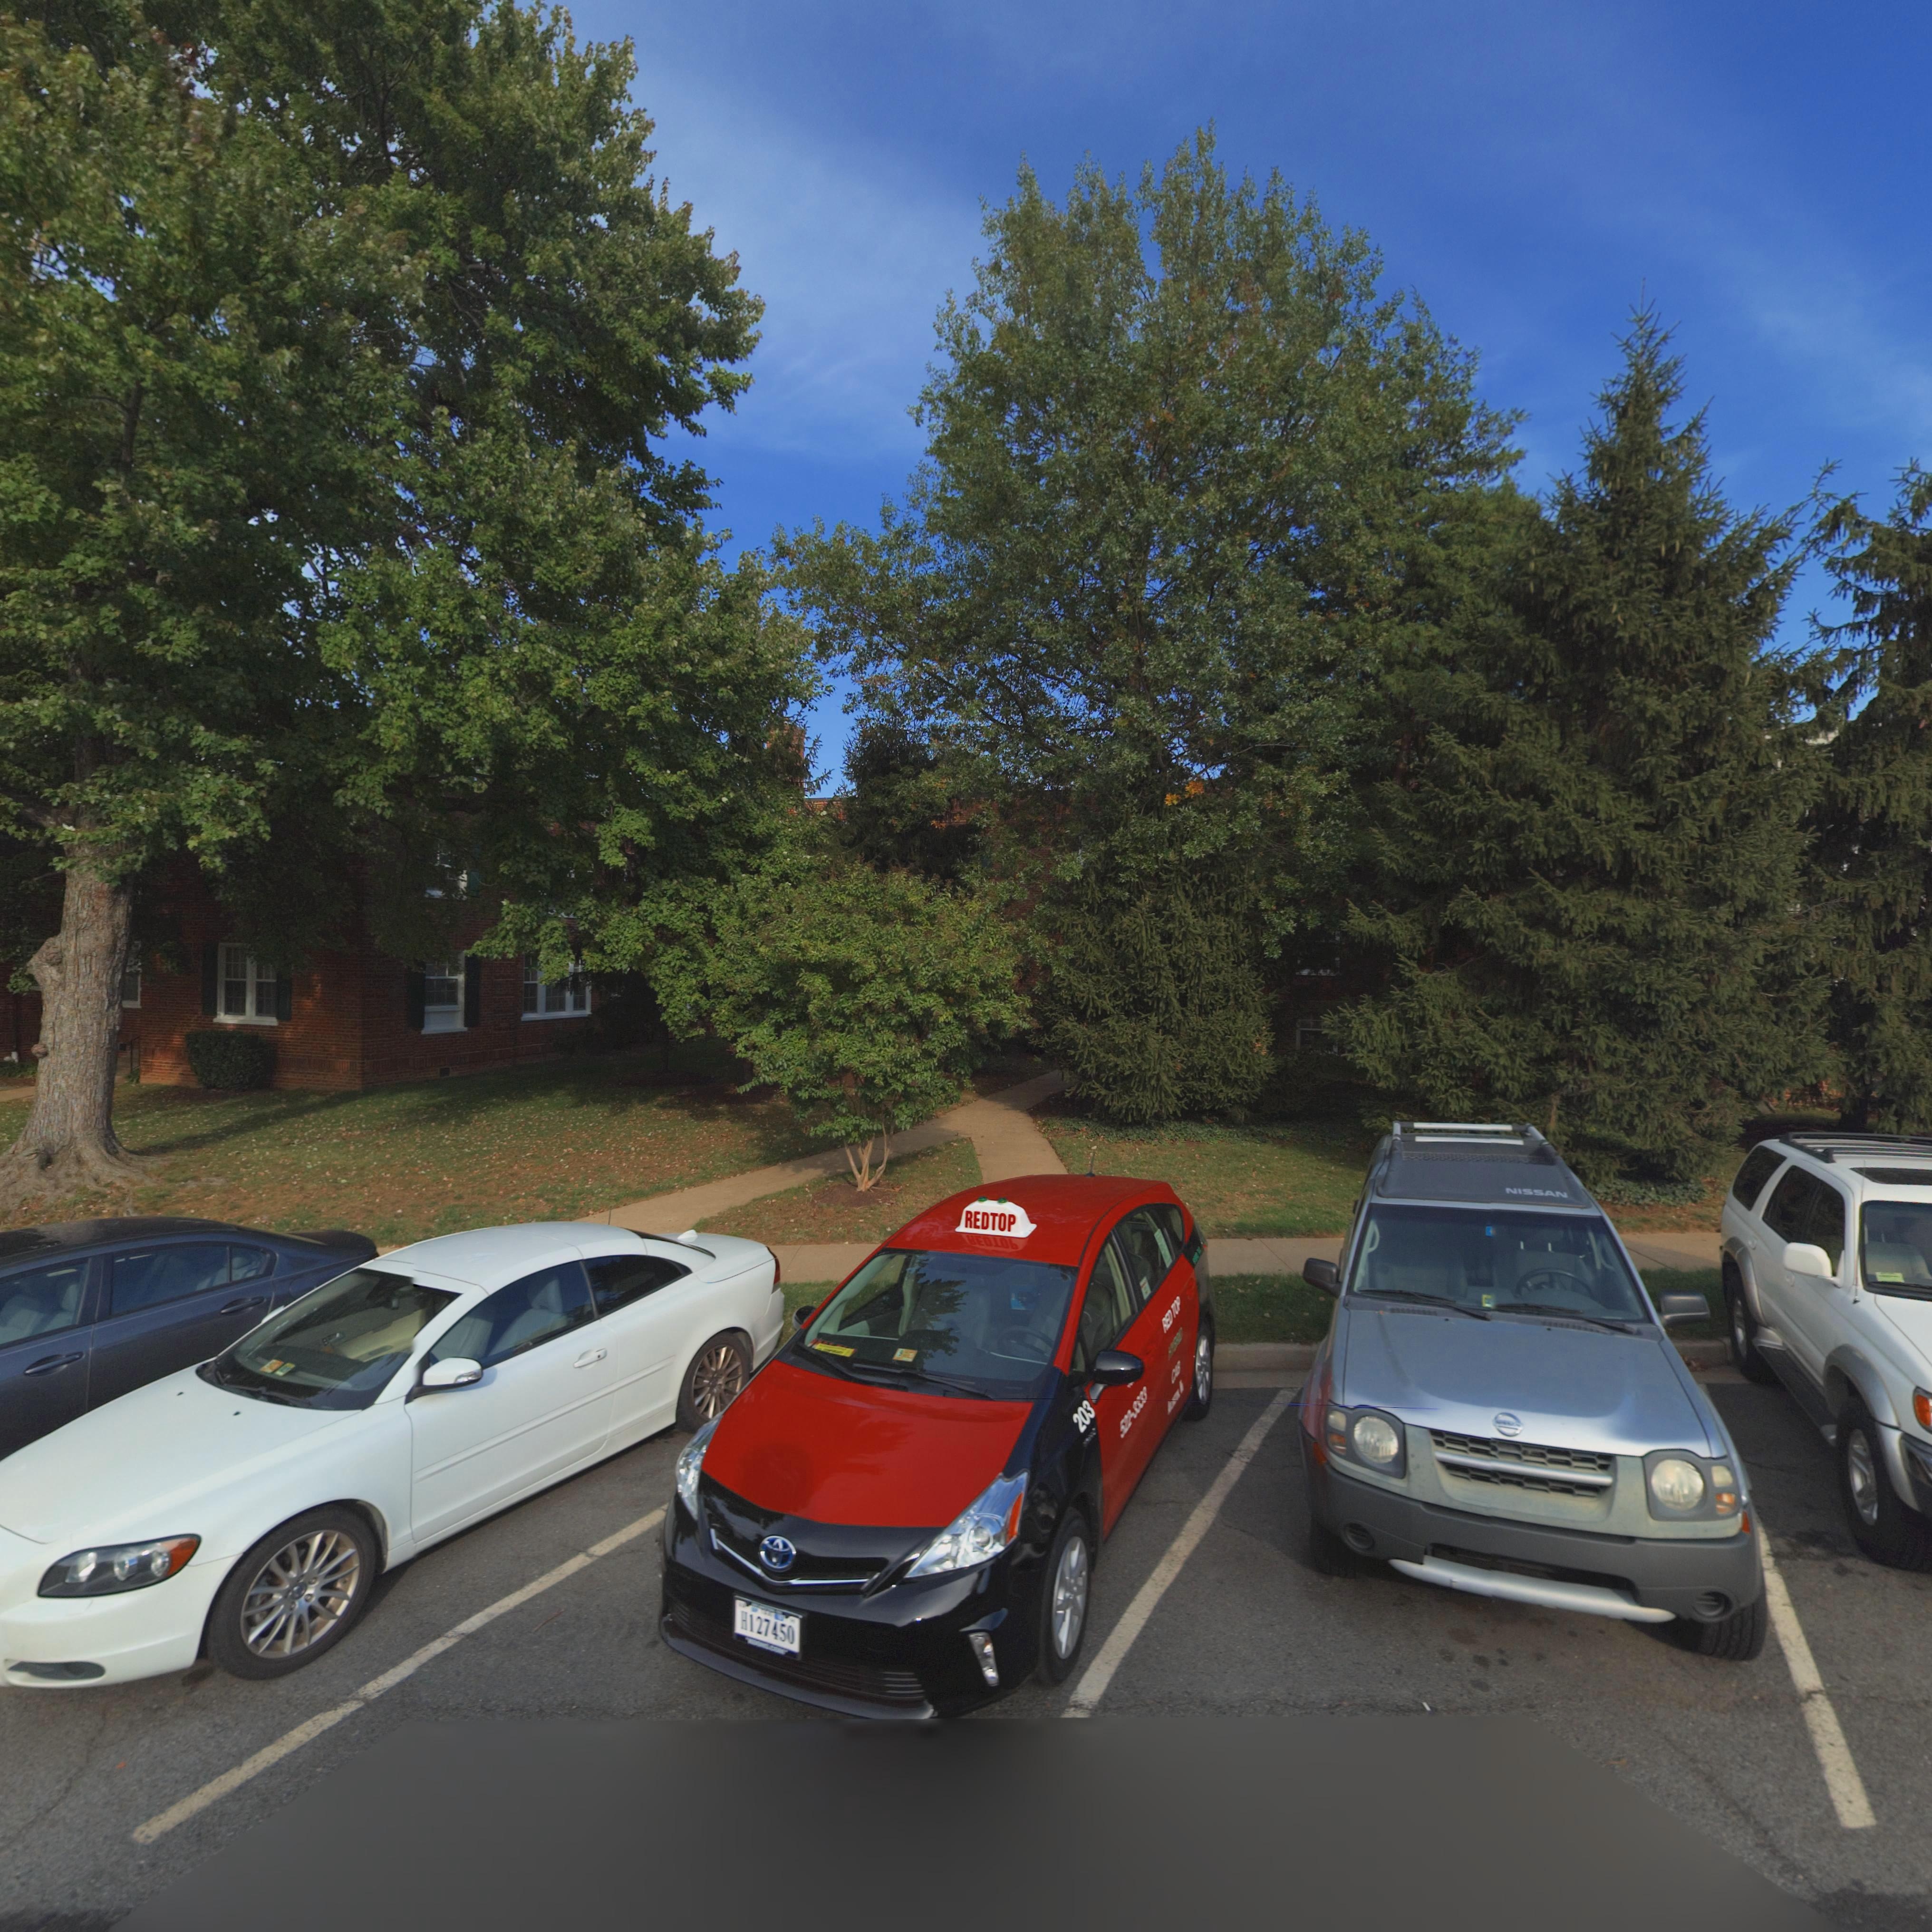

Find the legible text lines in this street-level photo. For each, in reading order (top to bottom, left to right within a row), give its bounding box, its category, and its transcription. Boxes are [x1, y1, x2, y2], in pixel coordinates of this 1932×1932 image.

[1505, 1187, 1569, 1198] None: NISSAN
[963, 1209, 1017, 1233] None: REDTOP
[965, 1234, 1020, 1250] None: *ED*O*
[1161, 1295, 1181, 1336] None: RED TOP
[1072, 1399, 1097, 1434] None: 203
[1119, 1385, 1148, 1440] None: 522*3333
[740, 1609, 795, 1646] None: H127450